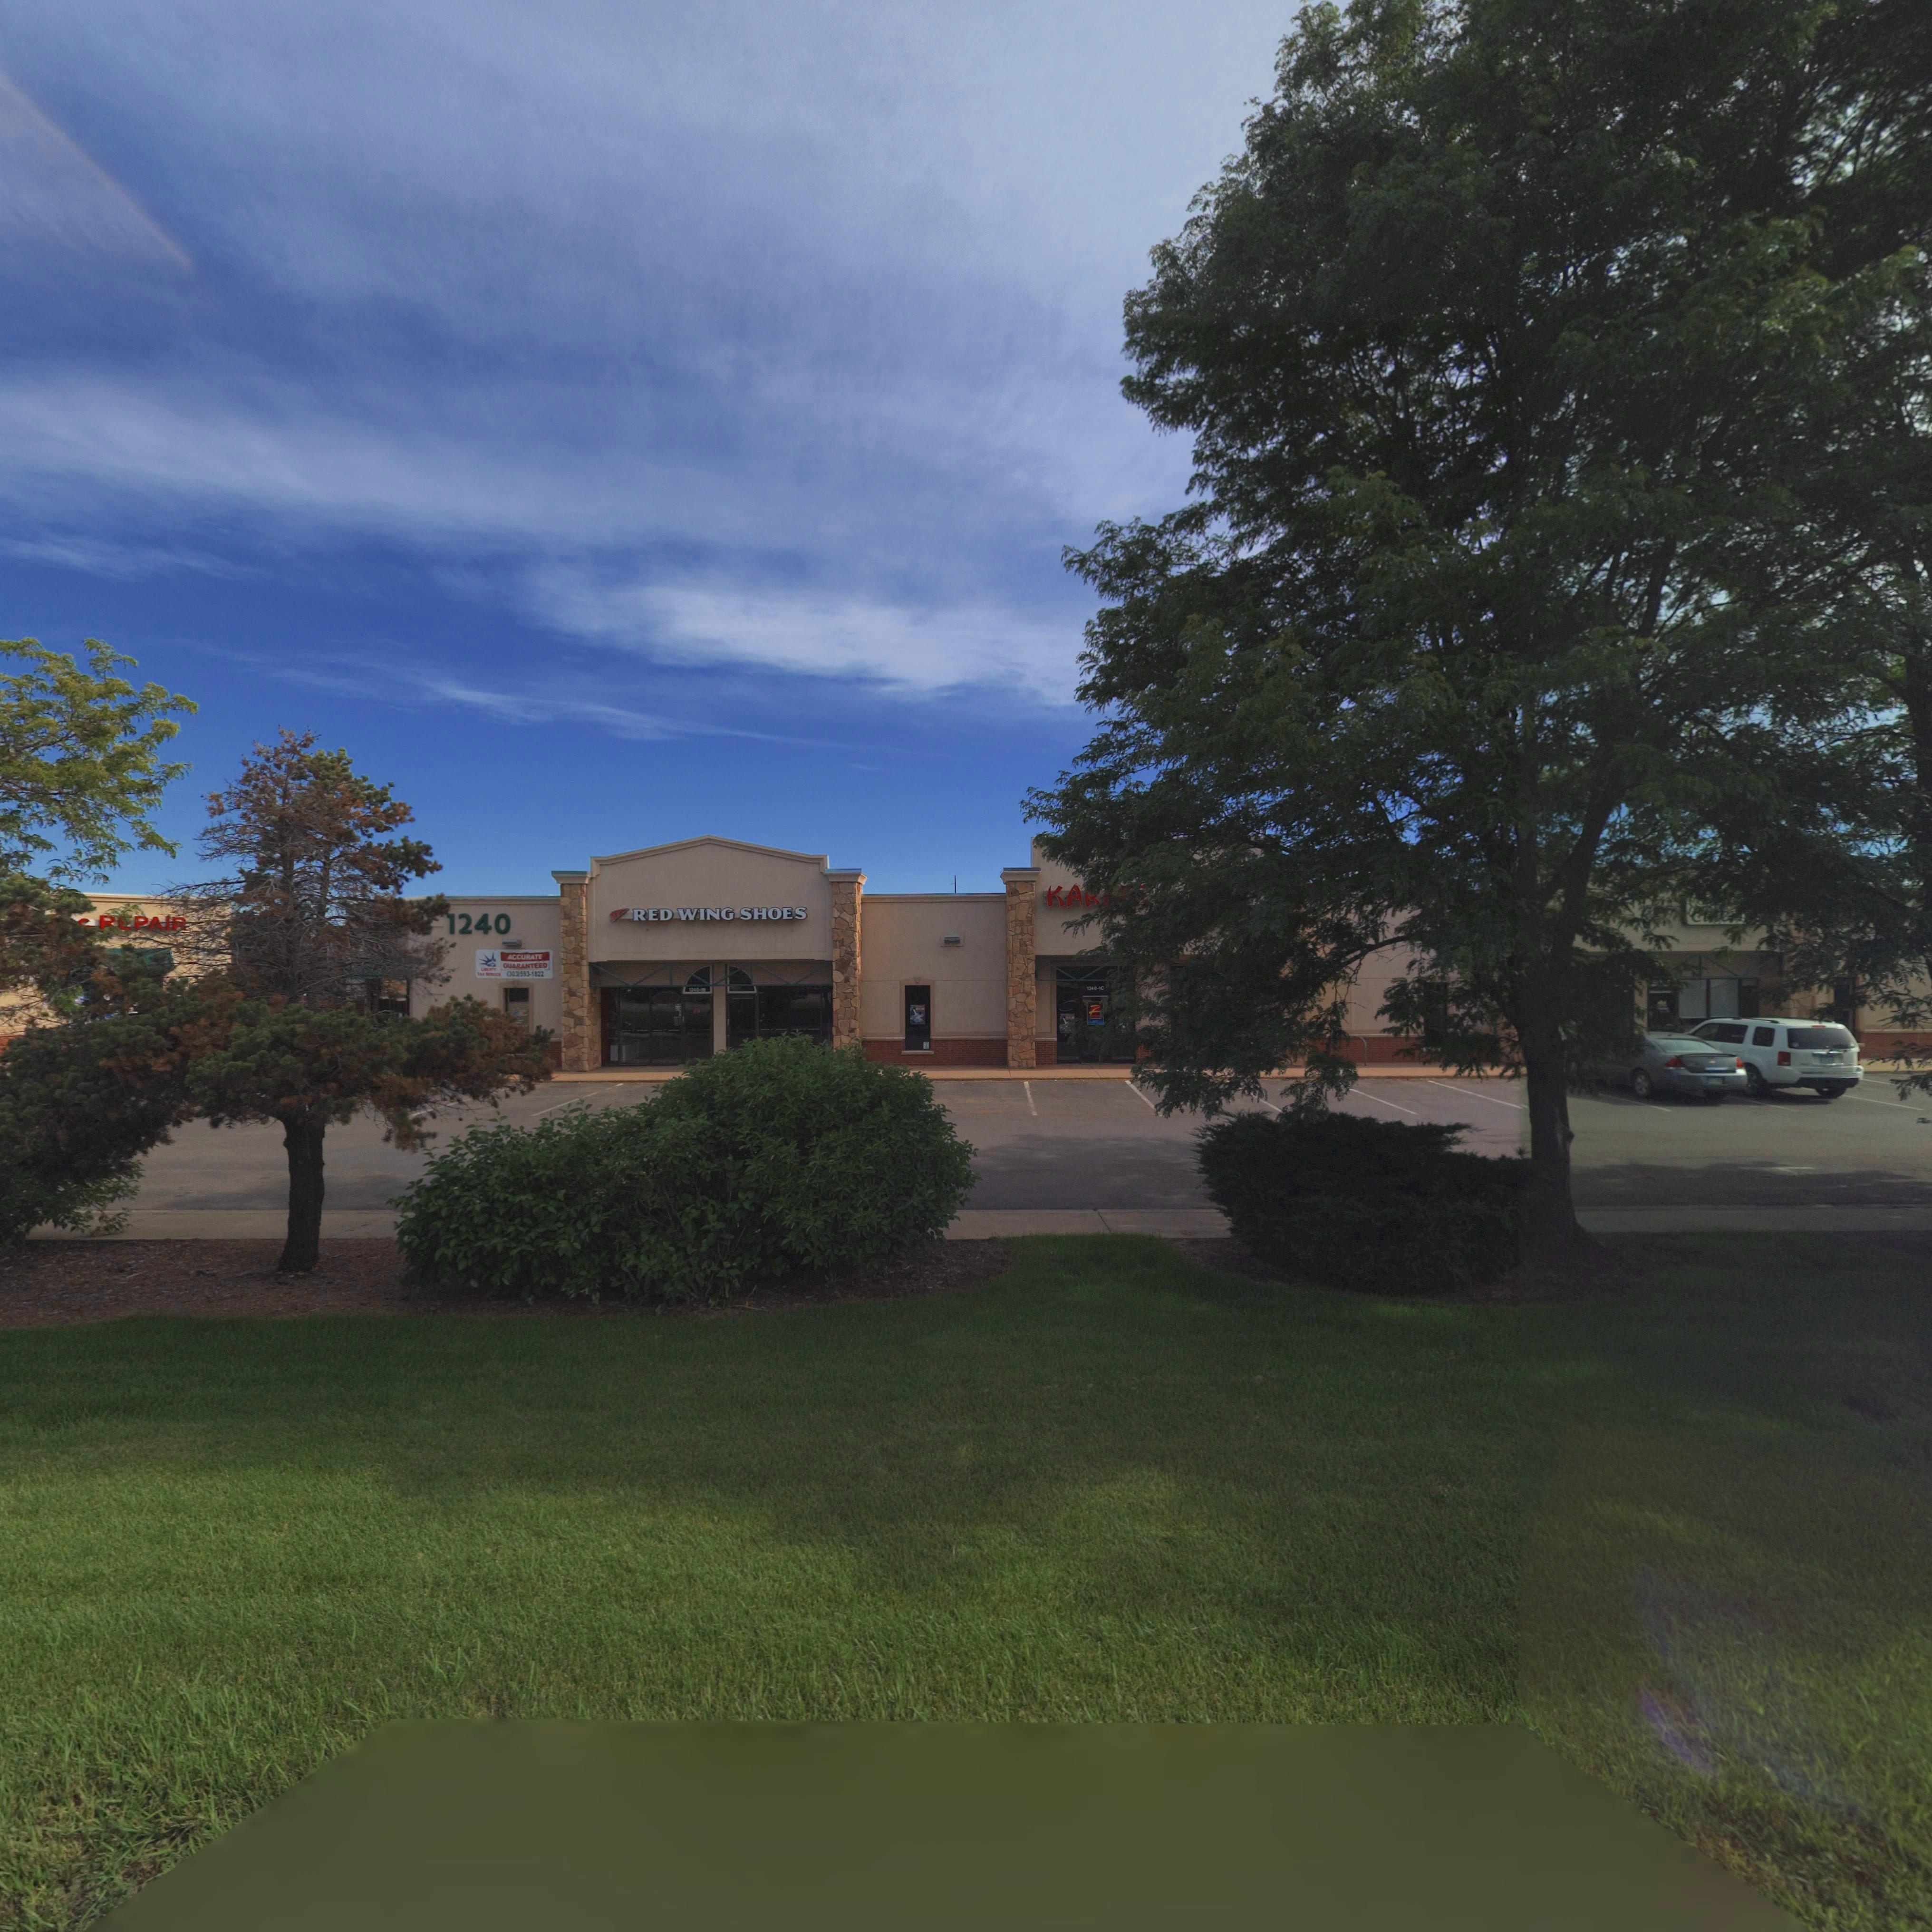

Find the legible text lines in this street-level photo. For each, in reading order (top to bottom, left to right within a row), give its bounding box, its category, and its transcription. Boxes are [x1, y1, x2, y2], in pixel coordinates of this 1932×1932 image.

[1045, 881, 1084, 908] BusinessName: KA
[632, 906, 807, 921] BusinessName: RED WING SHOES
[98, 913, 187, 931] BusinessName: R*PAIR
[446, 912, 511, 935] StreetNumber: 1240
[480, 967, 497, 971] BusinessName: LIBERTY
[477, 971, 501, 976] BusinessName: TAX SERVICE
[688, 987, 706, 992] StreetNumber: 1240-1B
[1086, 985, 1104, 990] StreetNumber: 1240-1C